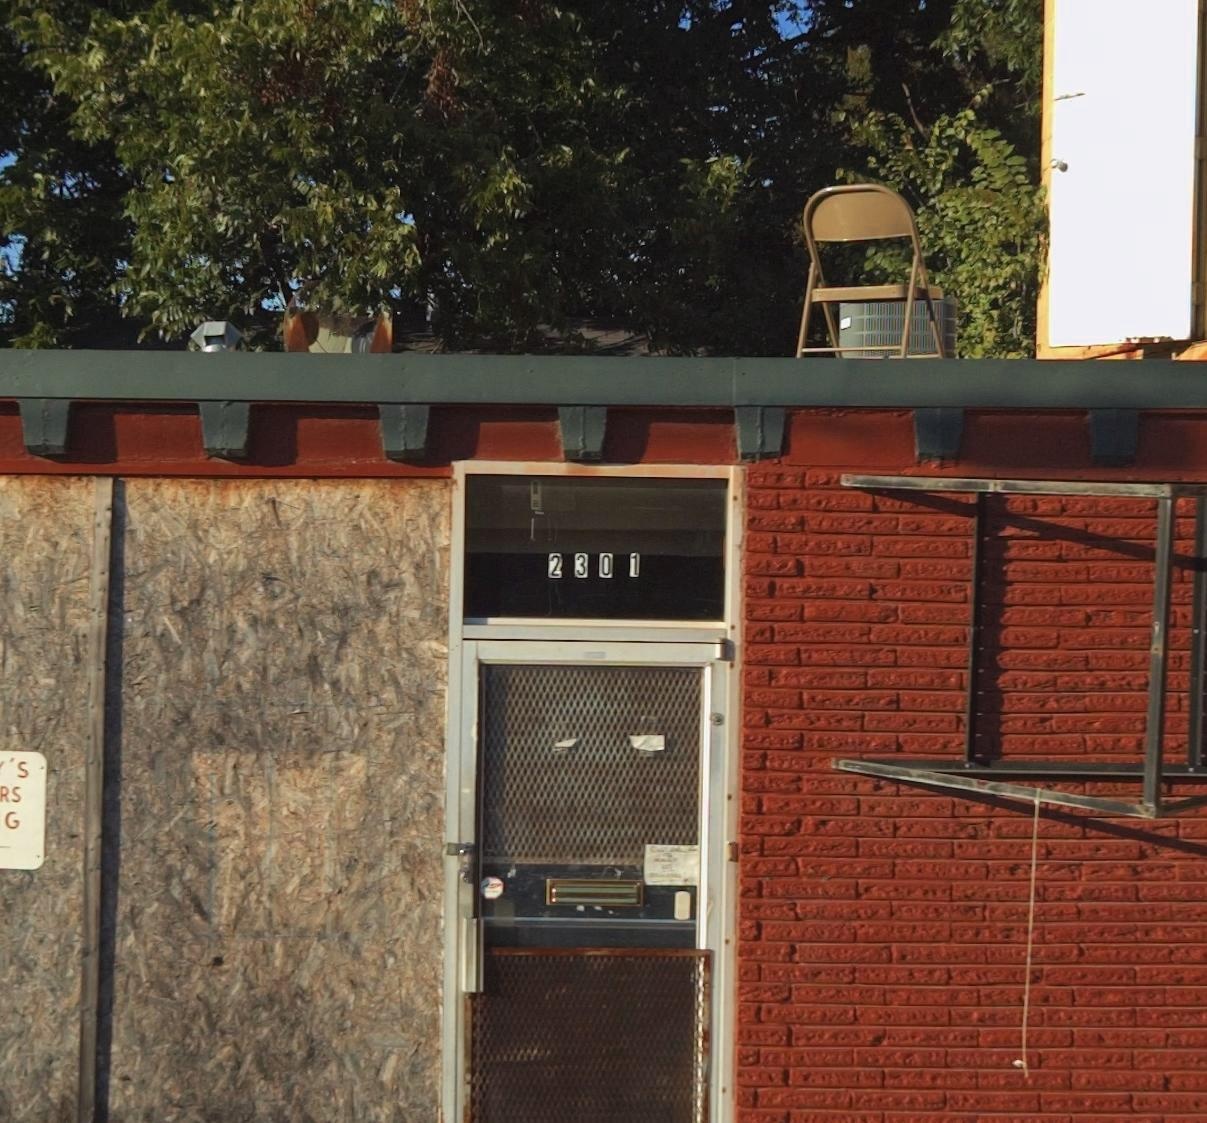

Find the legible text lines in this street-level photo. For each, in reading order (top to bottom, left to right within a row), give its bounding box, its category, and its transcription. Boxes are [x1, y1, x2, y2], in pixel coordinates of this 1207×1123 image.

[547, 551, 640, 578] StreetNumber: 2301
[14, 757, 29, 779] None: S
[0, 784, 23, 804] None: RS
[3, 809, 22, 831] None: G